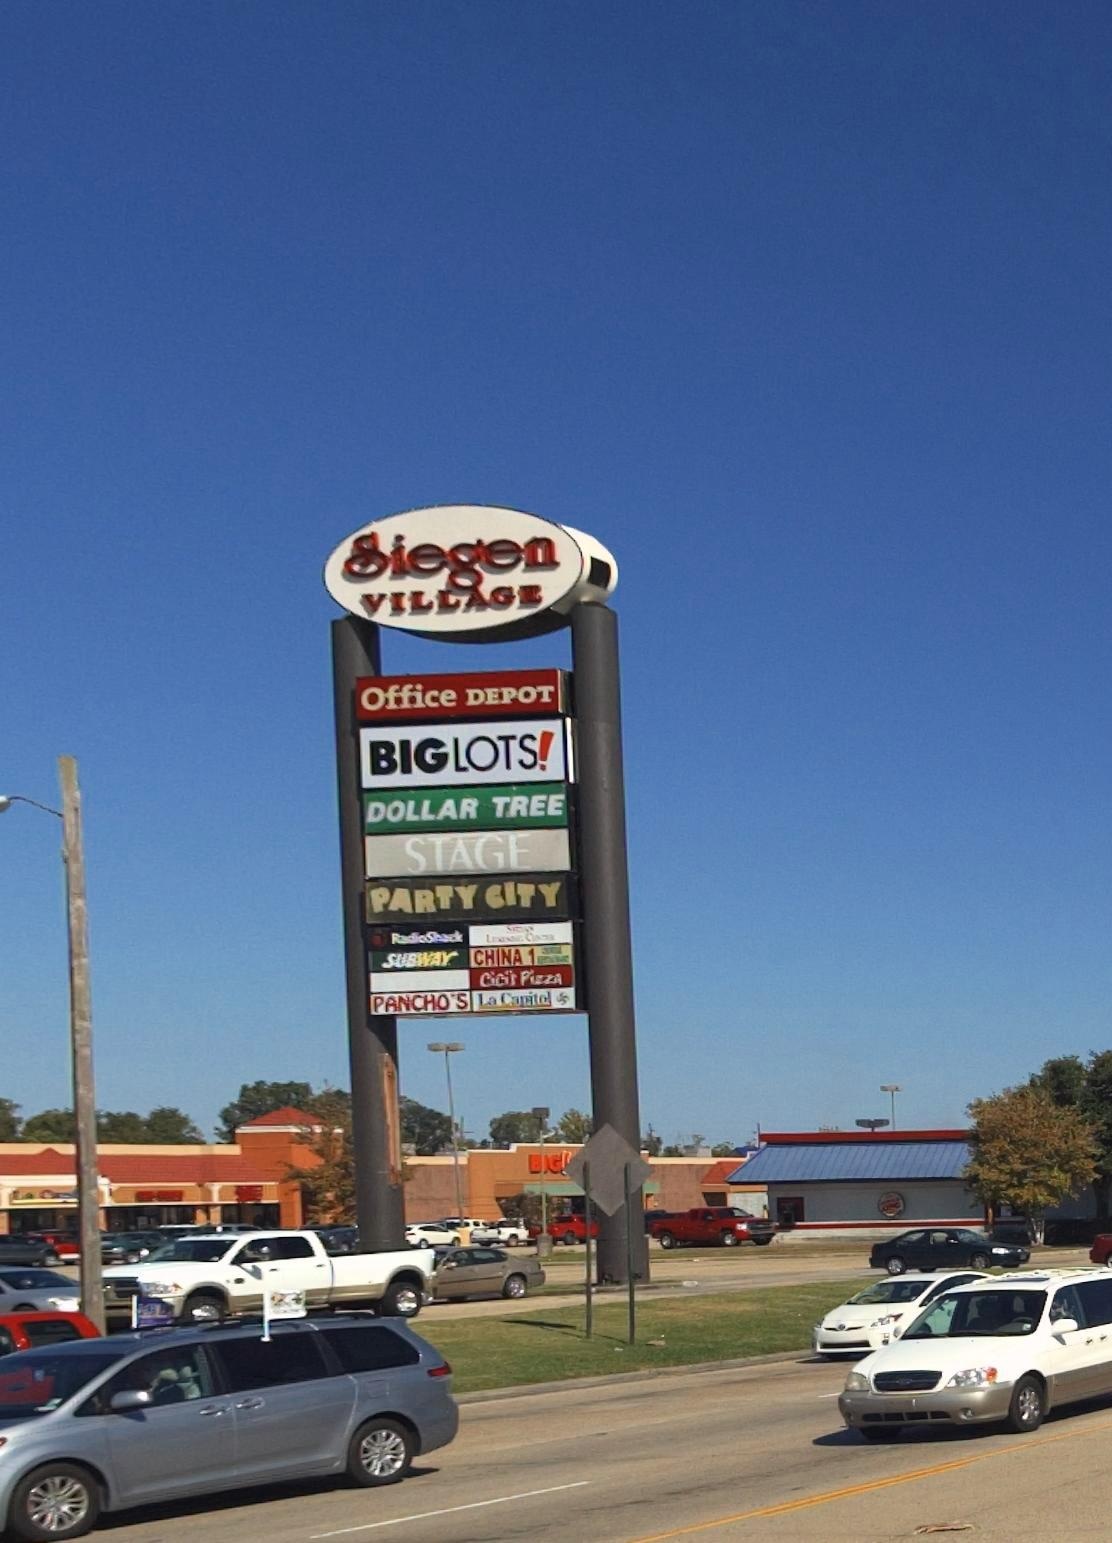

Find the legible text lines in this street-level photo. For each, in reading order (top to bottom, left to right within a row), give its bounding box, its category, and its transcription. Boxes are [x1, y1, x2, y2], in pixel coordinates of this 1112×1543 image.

[340, 527, 564, 590] BusinessName: Siegen
[356, 581, 546, 615] BusinessName: VILLAGE
[357, 680, 558, 714] BusinessName: Office DEPOT
[364, 727, 559, 779] BusinessName: BIGLOTS!
[362, 790, 568, 827] BusinessName: DOLLAR TREE
[400, 830, 536, 878] BusinessName: STAGE
[364, 878, 564, 918] BusinessName: PARTY CITY
[388, 926, 466, 948] BusinessName: RadioShack
[377, 947, 465, 973] BusinessName: SUBWAY
[471, 945, 538, 968] BusinessName: CHINA 1
[477, 966, 567, 990] BusinessName: CiCi'S Pizza
[370, 990, 473, 1015] BusinessName: PANCHO'S
[473, 987, 557, 1011] BusinessName: La Capitol
[526, 1151, 566, 1178] BusinessName: B*G
[11, 1186, 72, 1205] BusinessName: La Cap